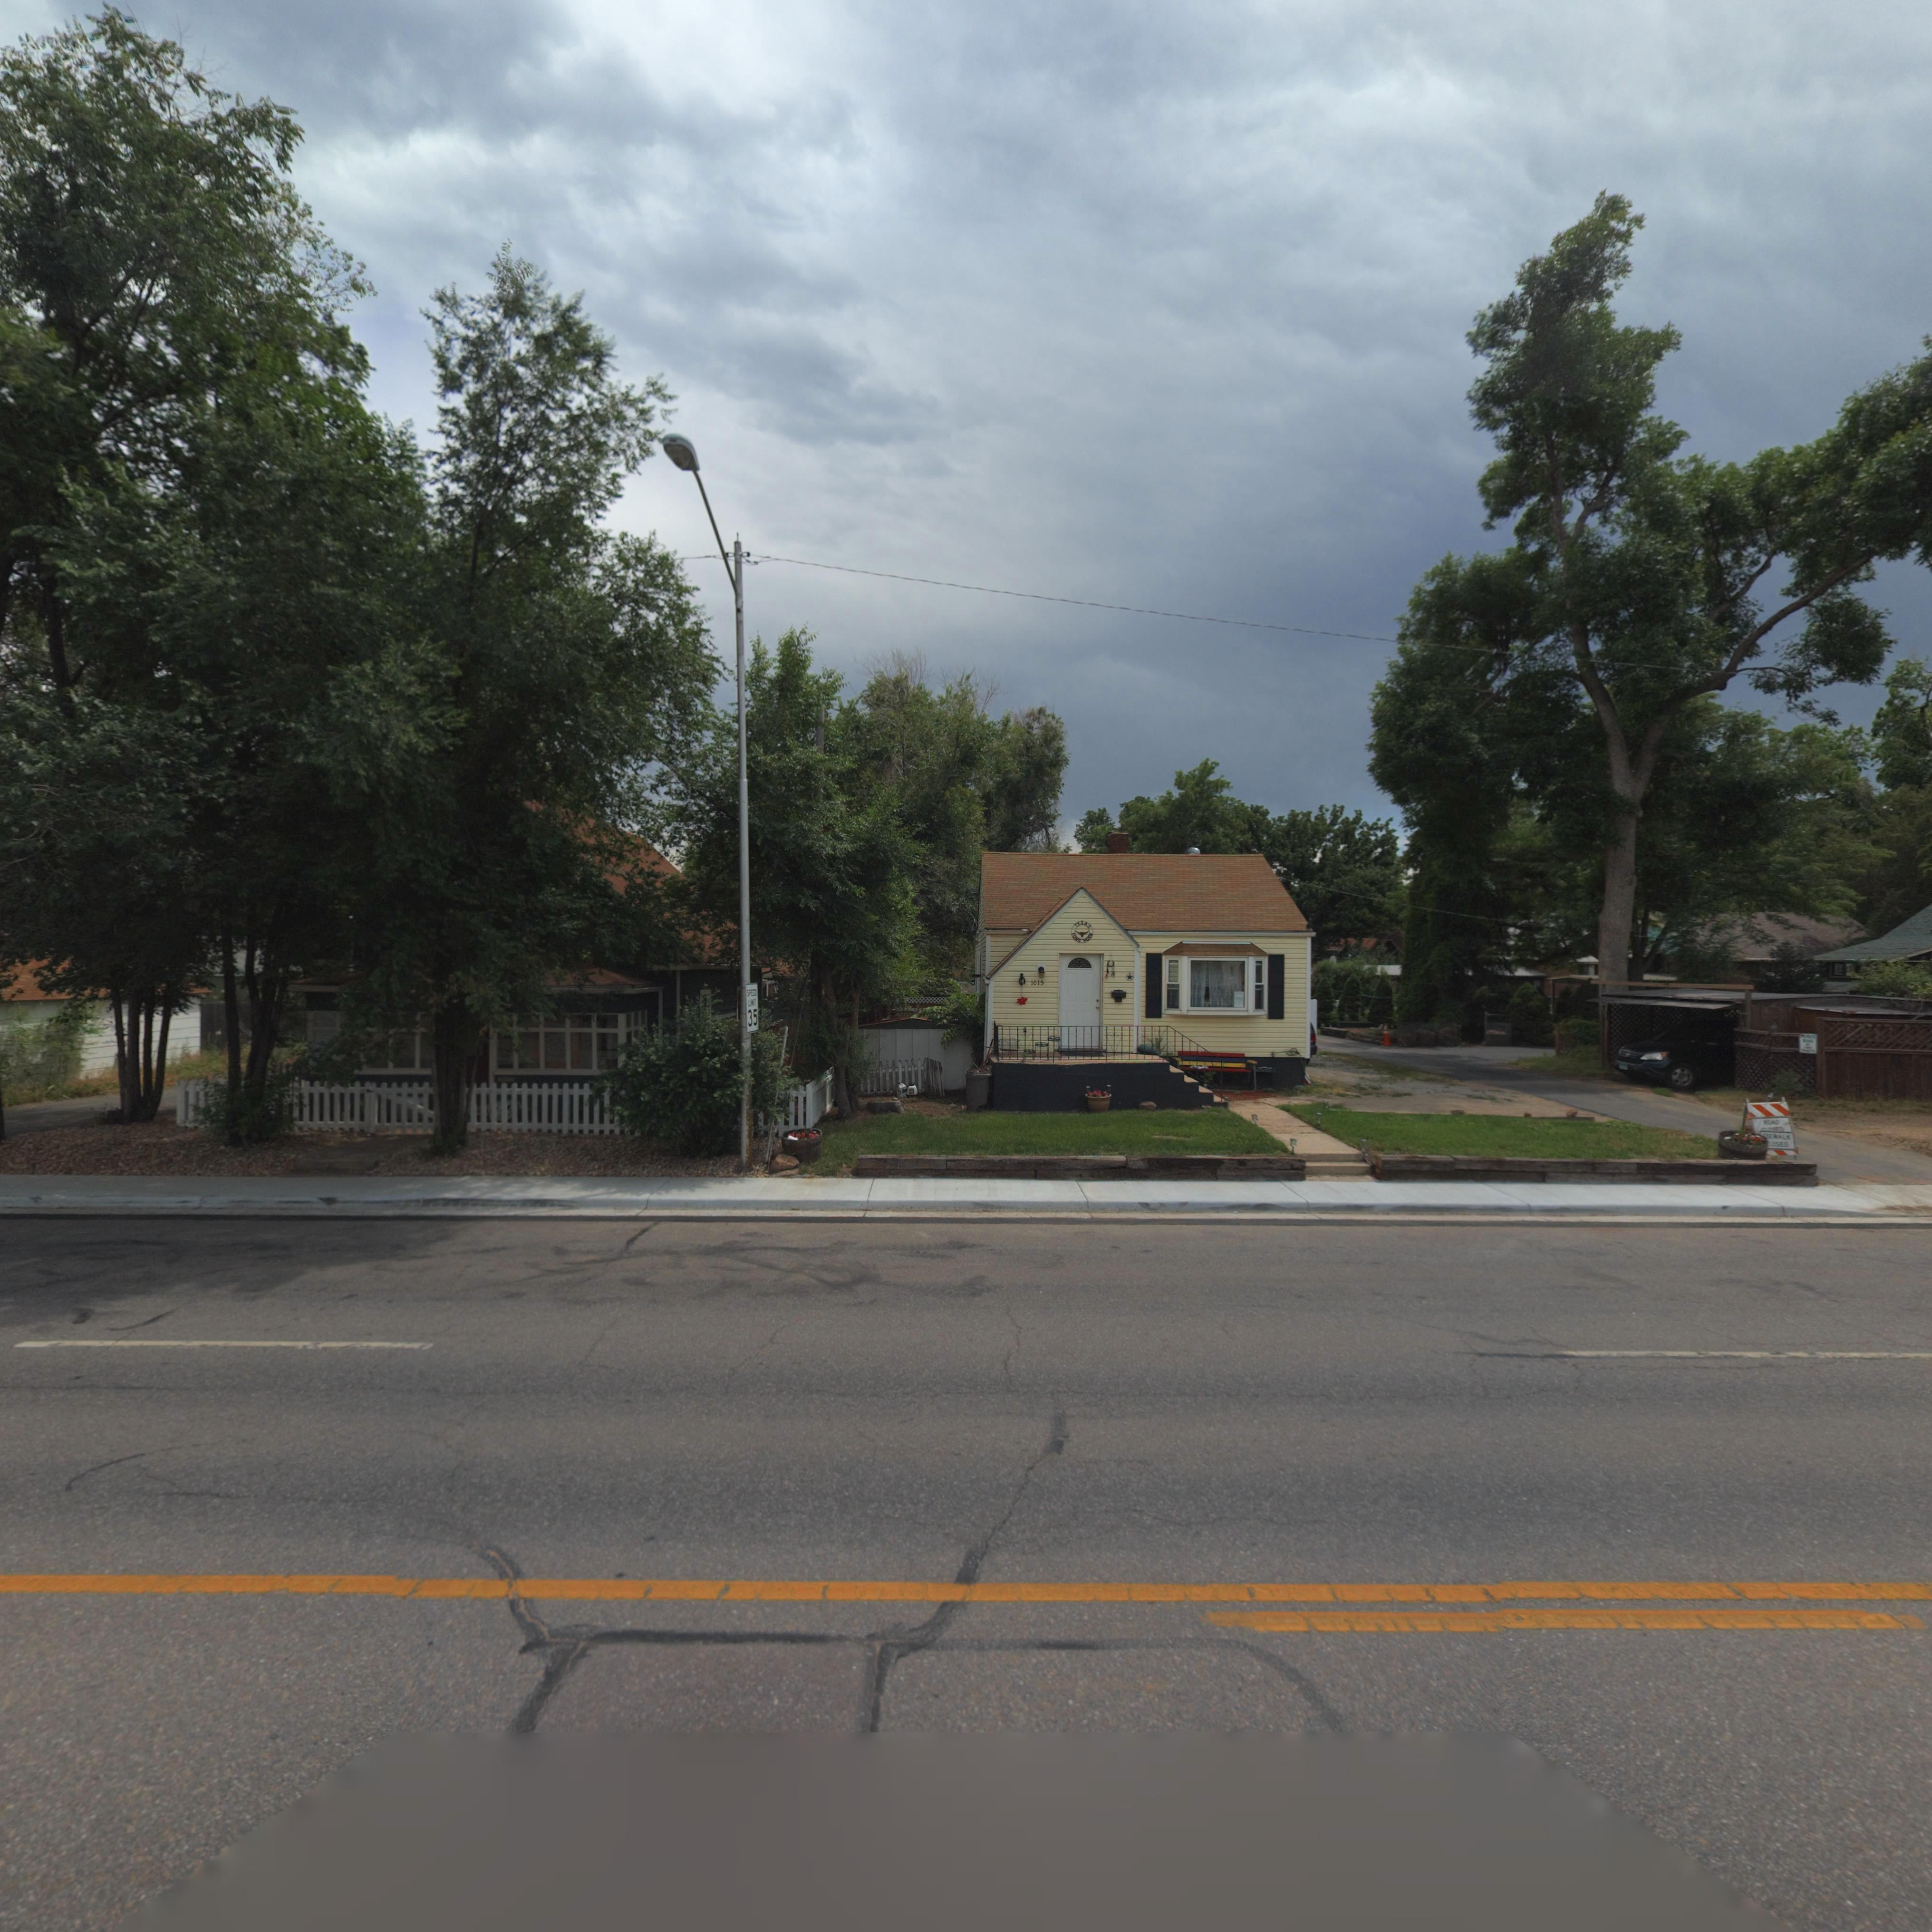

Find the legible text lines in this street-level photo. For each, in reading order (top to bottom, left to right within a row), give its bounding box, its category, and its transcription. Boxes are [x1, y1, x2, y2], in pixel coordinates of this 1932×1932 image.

[1031, 979, 1044, 985] StreetNumber: 1015